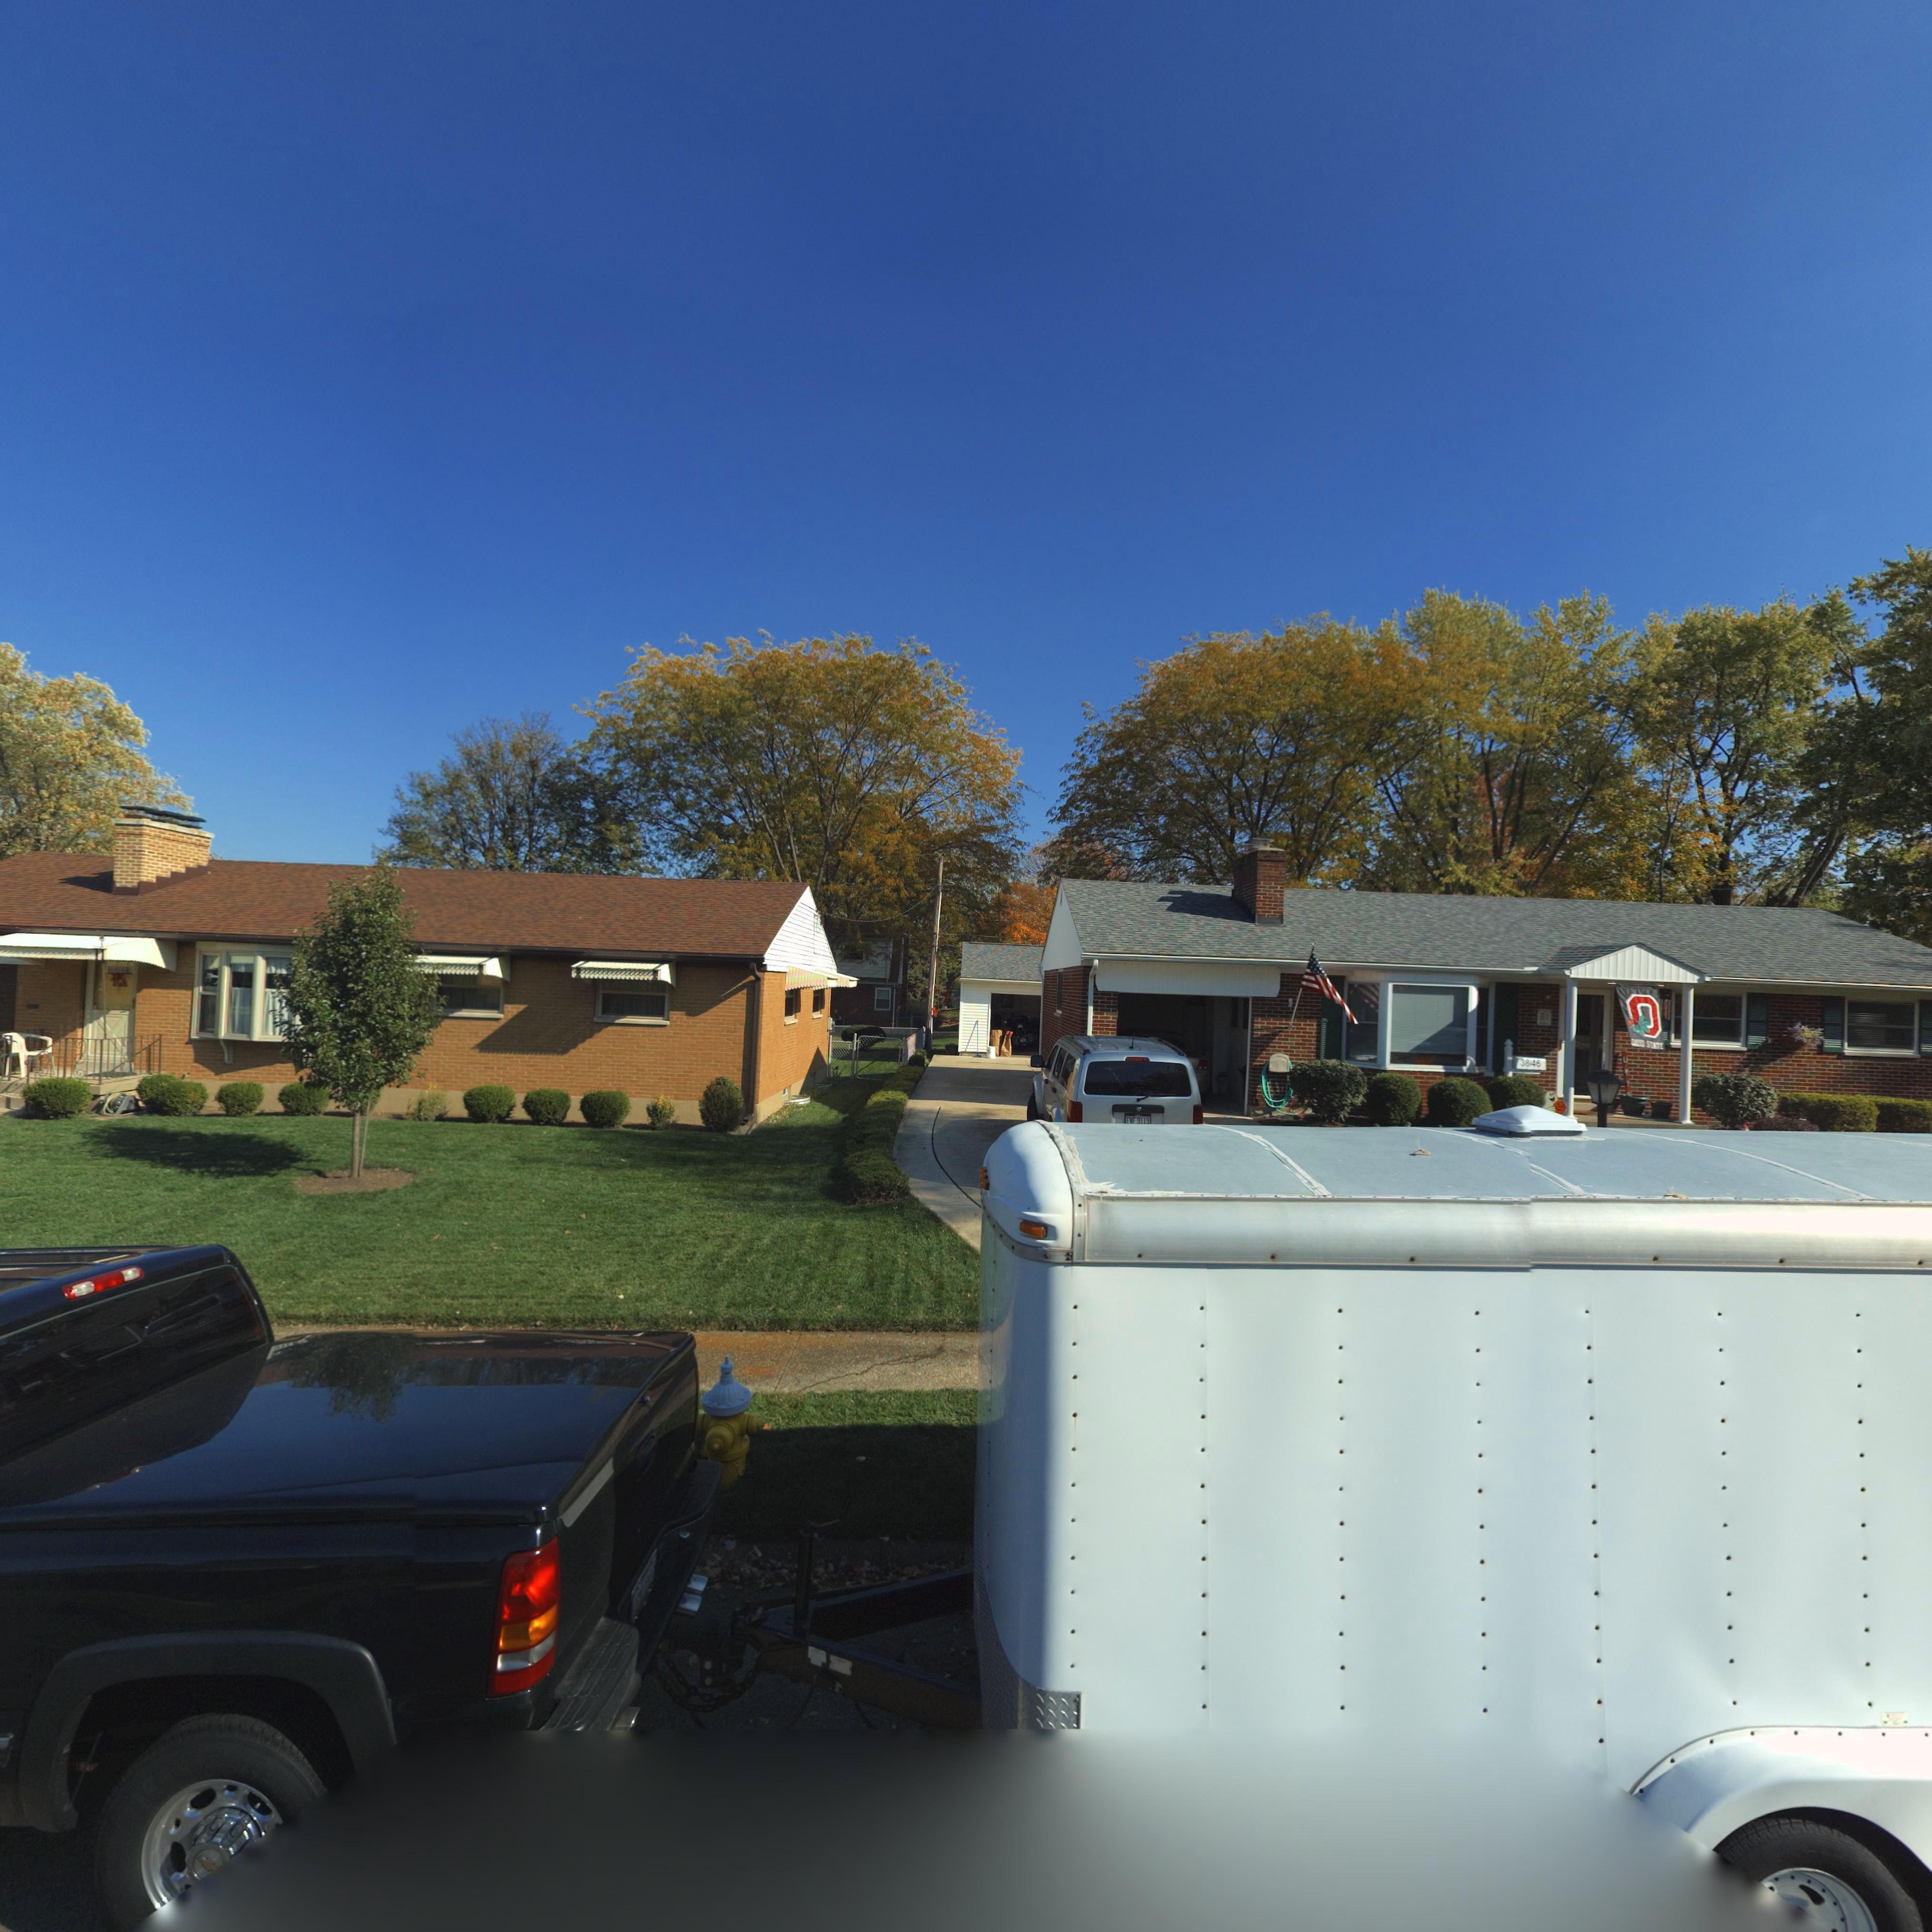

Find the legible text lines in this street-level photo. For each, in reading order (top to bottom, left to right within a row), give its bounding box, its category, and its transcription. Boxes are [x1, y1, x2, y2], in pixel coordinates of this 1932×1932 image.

[1539, 1011, 1550, 1022] None: RI
[1645, 1039, 1665, 1051] None: ST**E
[1519, 1057, 1542, 1069] StreetNumber: 38*46
[1126, 1116, 1150, 1125] None: ENF 9119